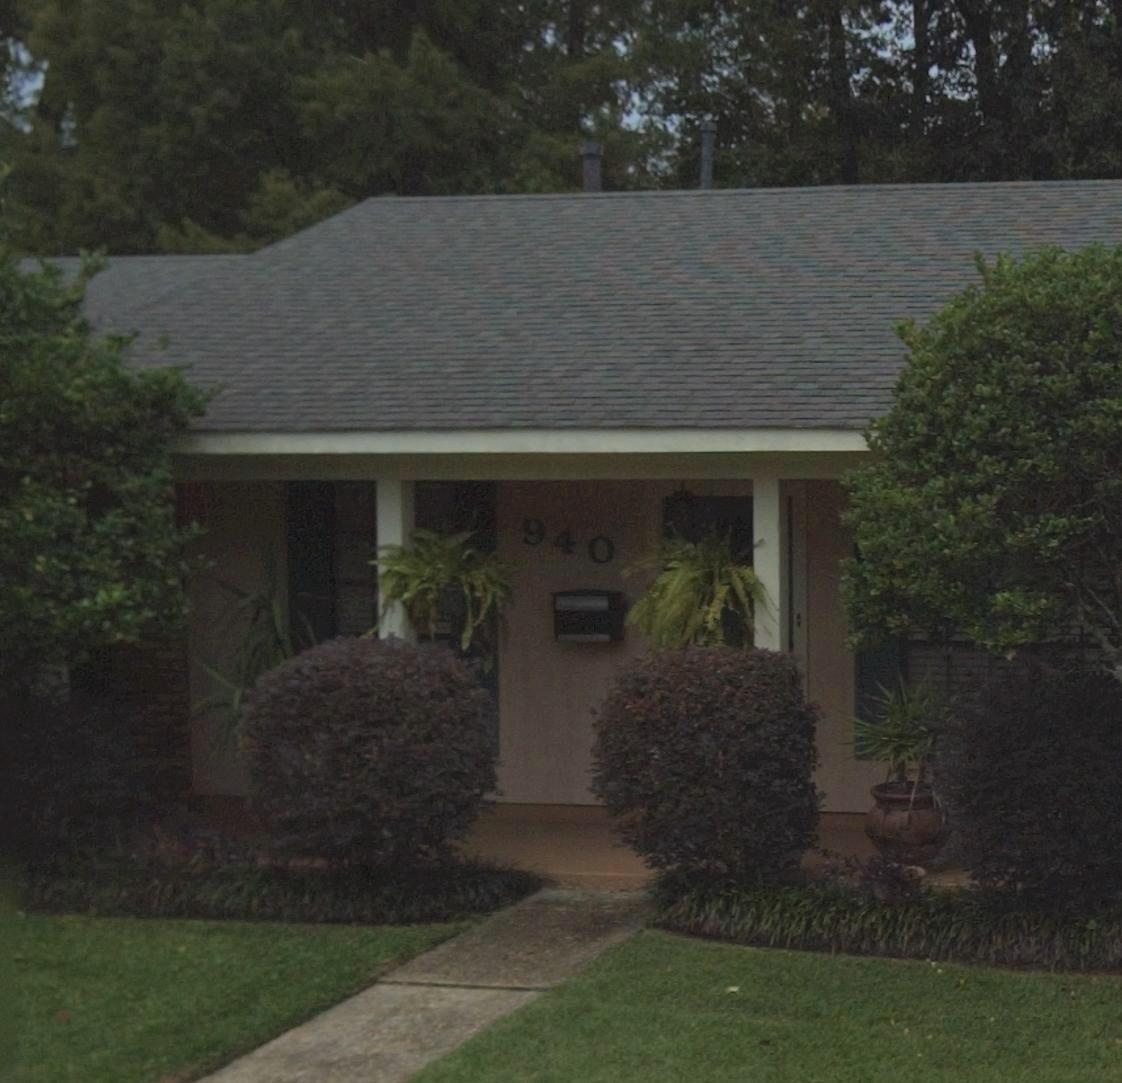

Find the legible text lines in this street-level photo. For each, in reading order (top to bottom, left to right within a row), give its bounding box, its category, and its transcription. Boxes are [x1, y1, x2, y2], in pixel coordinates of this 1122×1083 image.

[522, 516, 617, 565] StreetNumber: 940